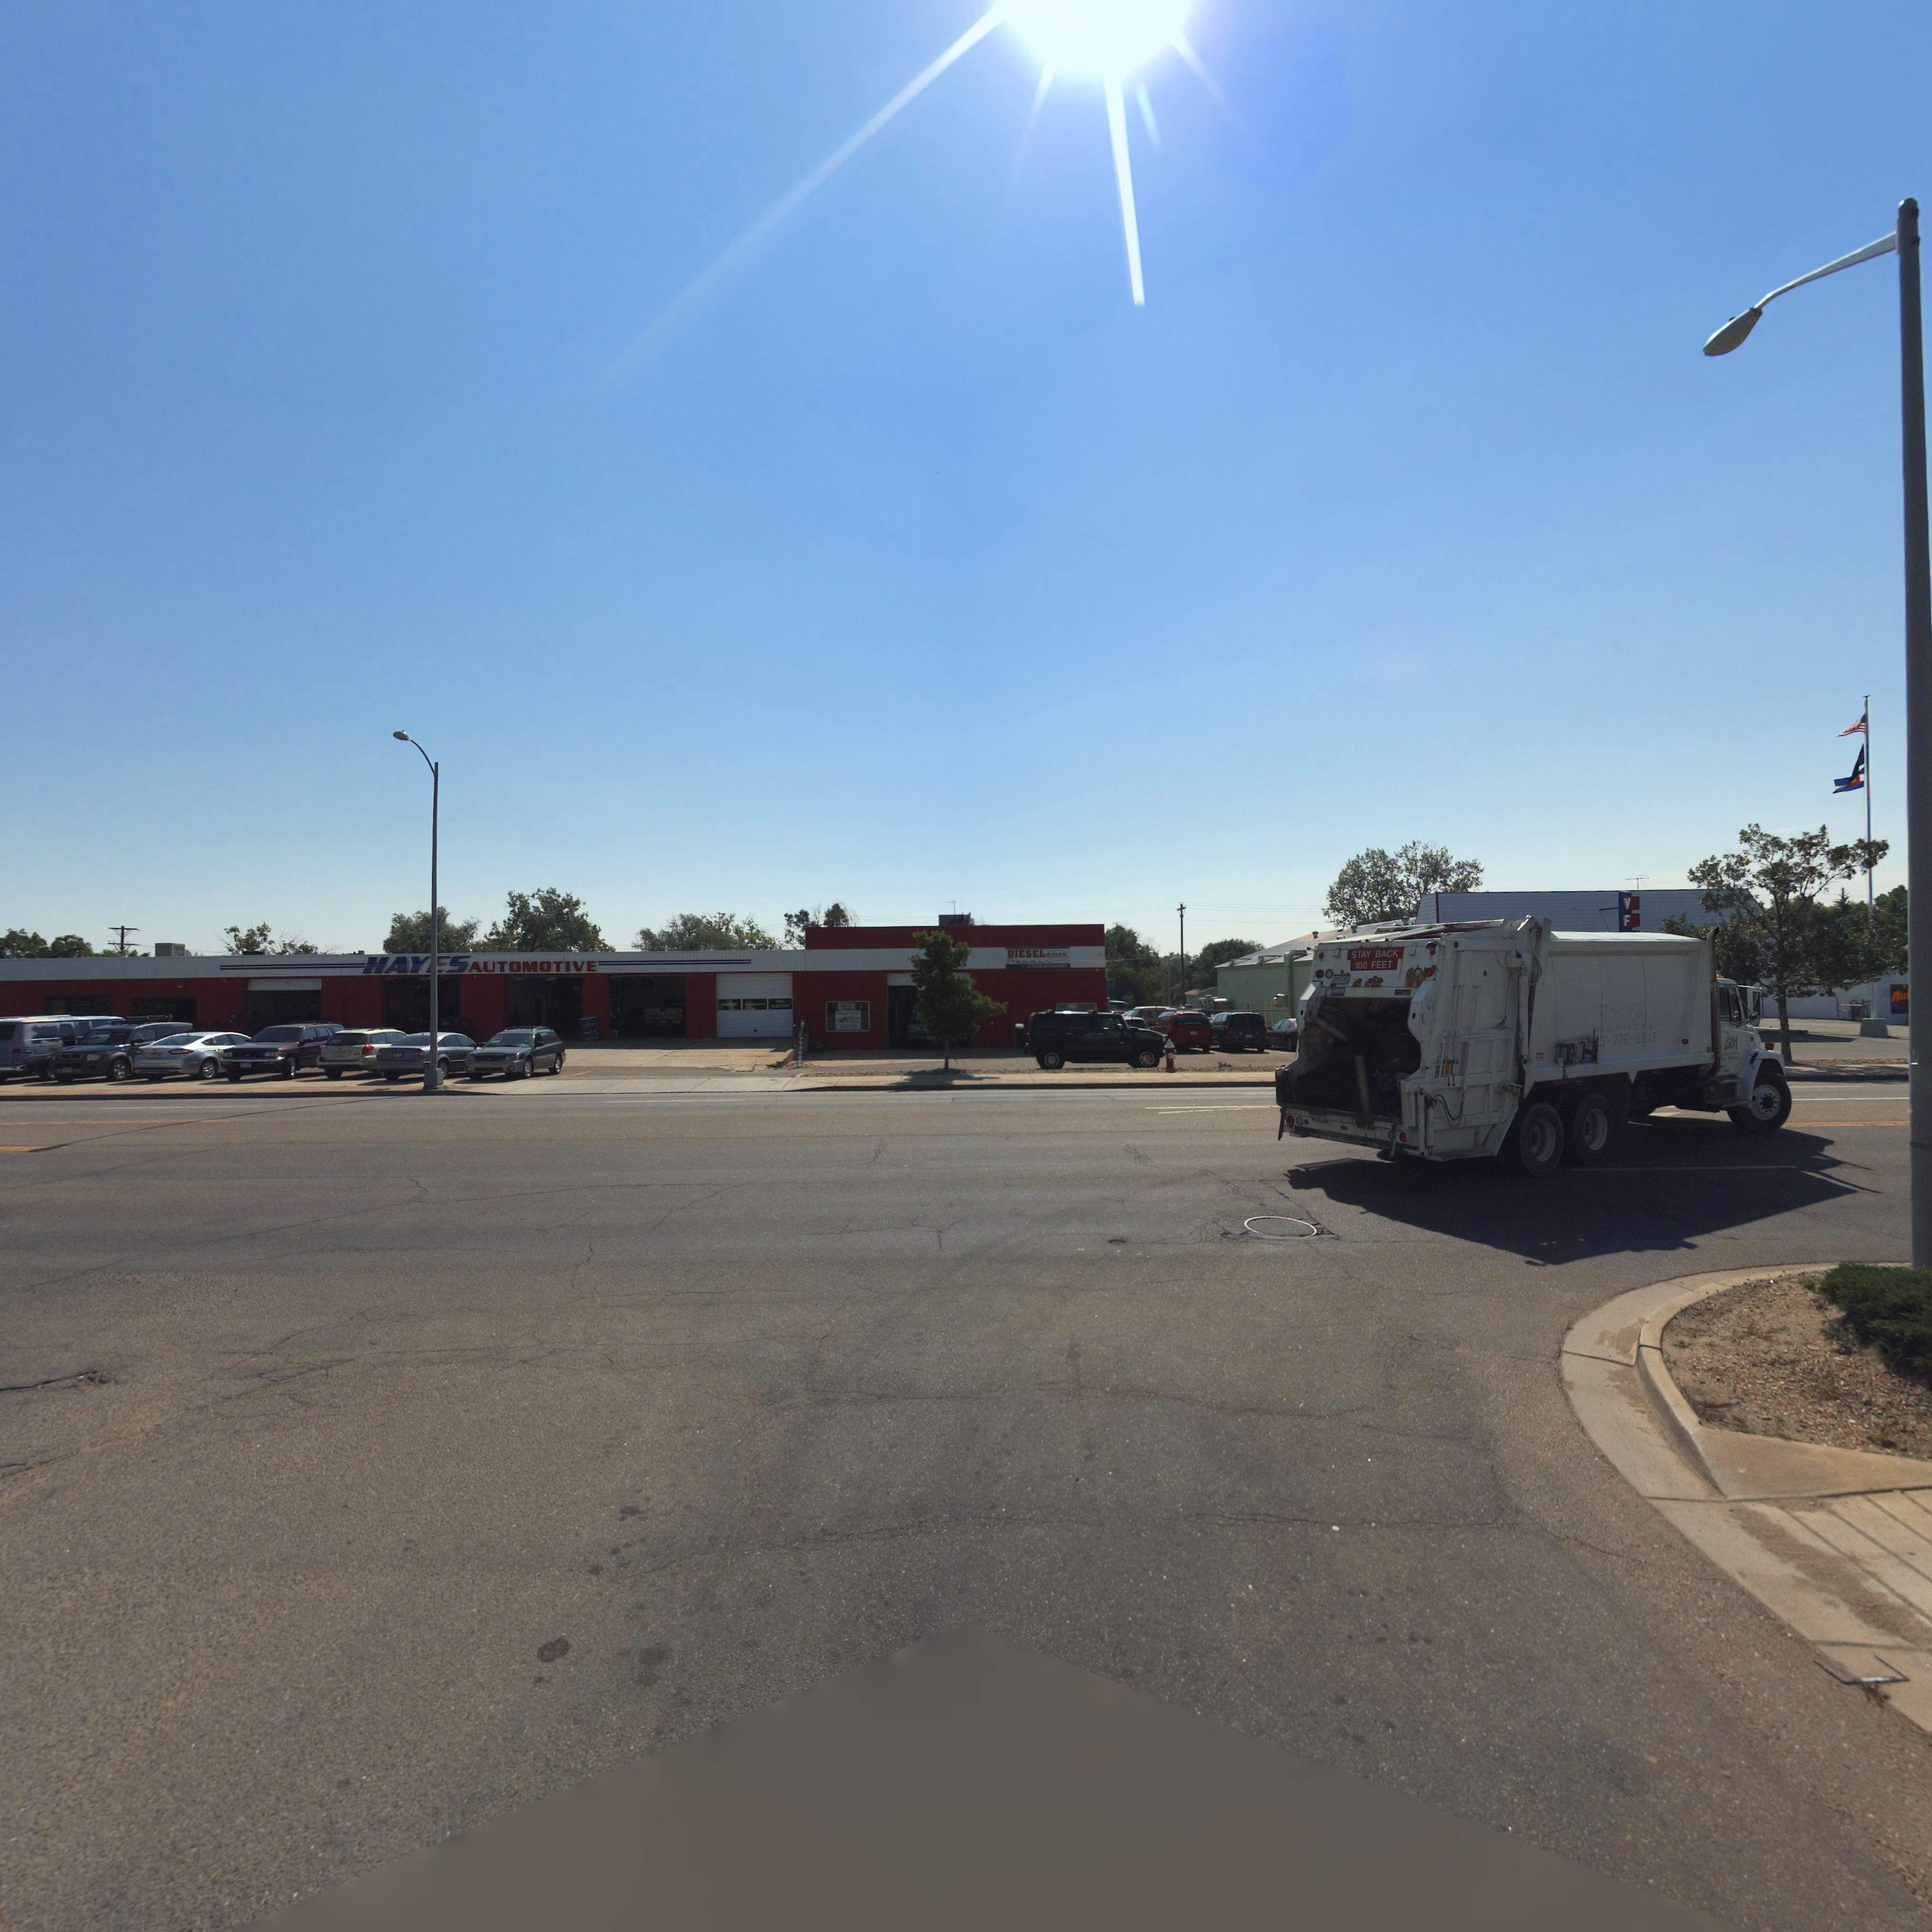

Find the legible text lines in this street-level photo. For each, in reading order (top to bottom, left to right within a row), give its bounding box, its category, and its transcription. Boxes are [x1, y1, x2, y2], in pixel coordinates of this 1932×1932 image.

[360, 954, 599, 974] BusinessName: HAY*SAUTOMOTIVE